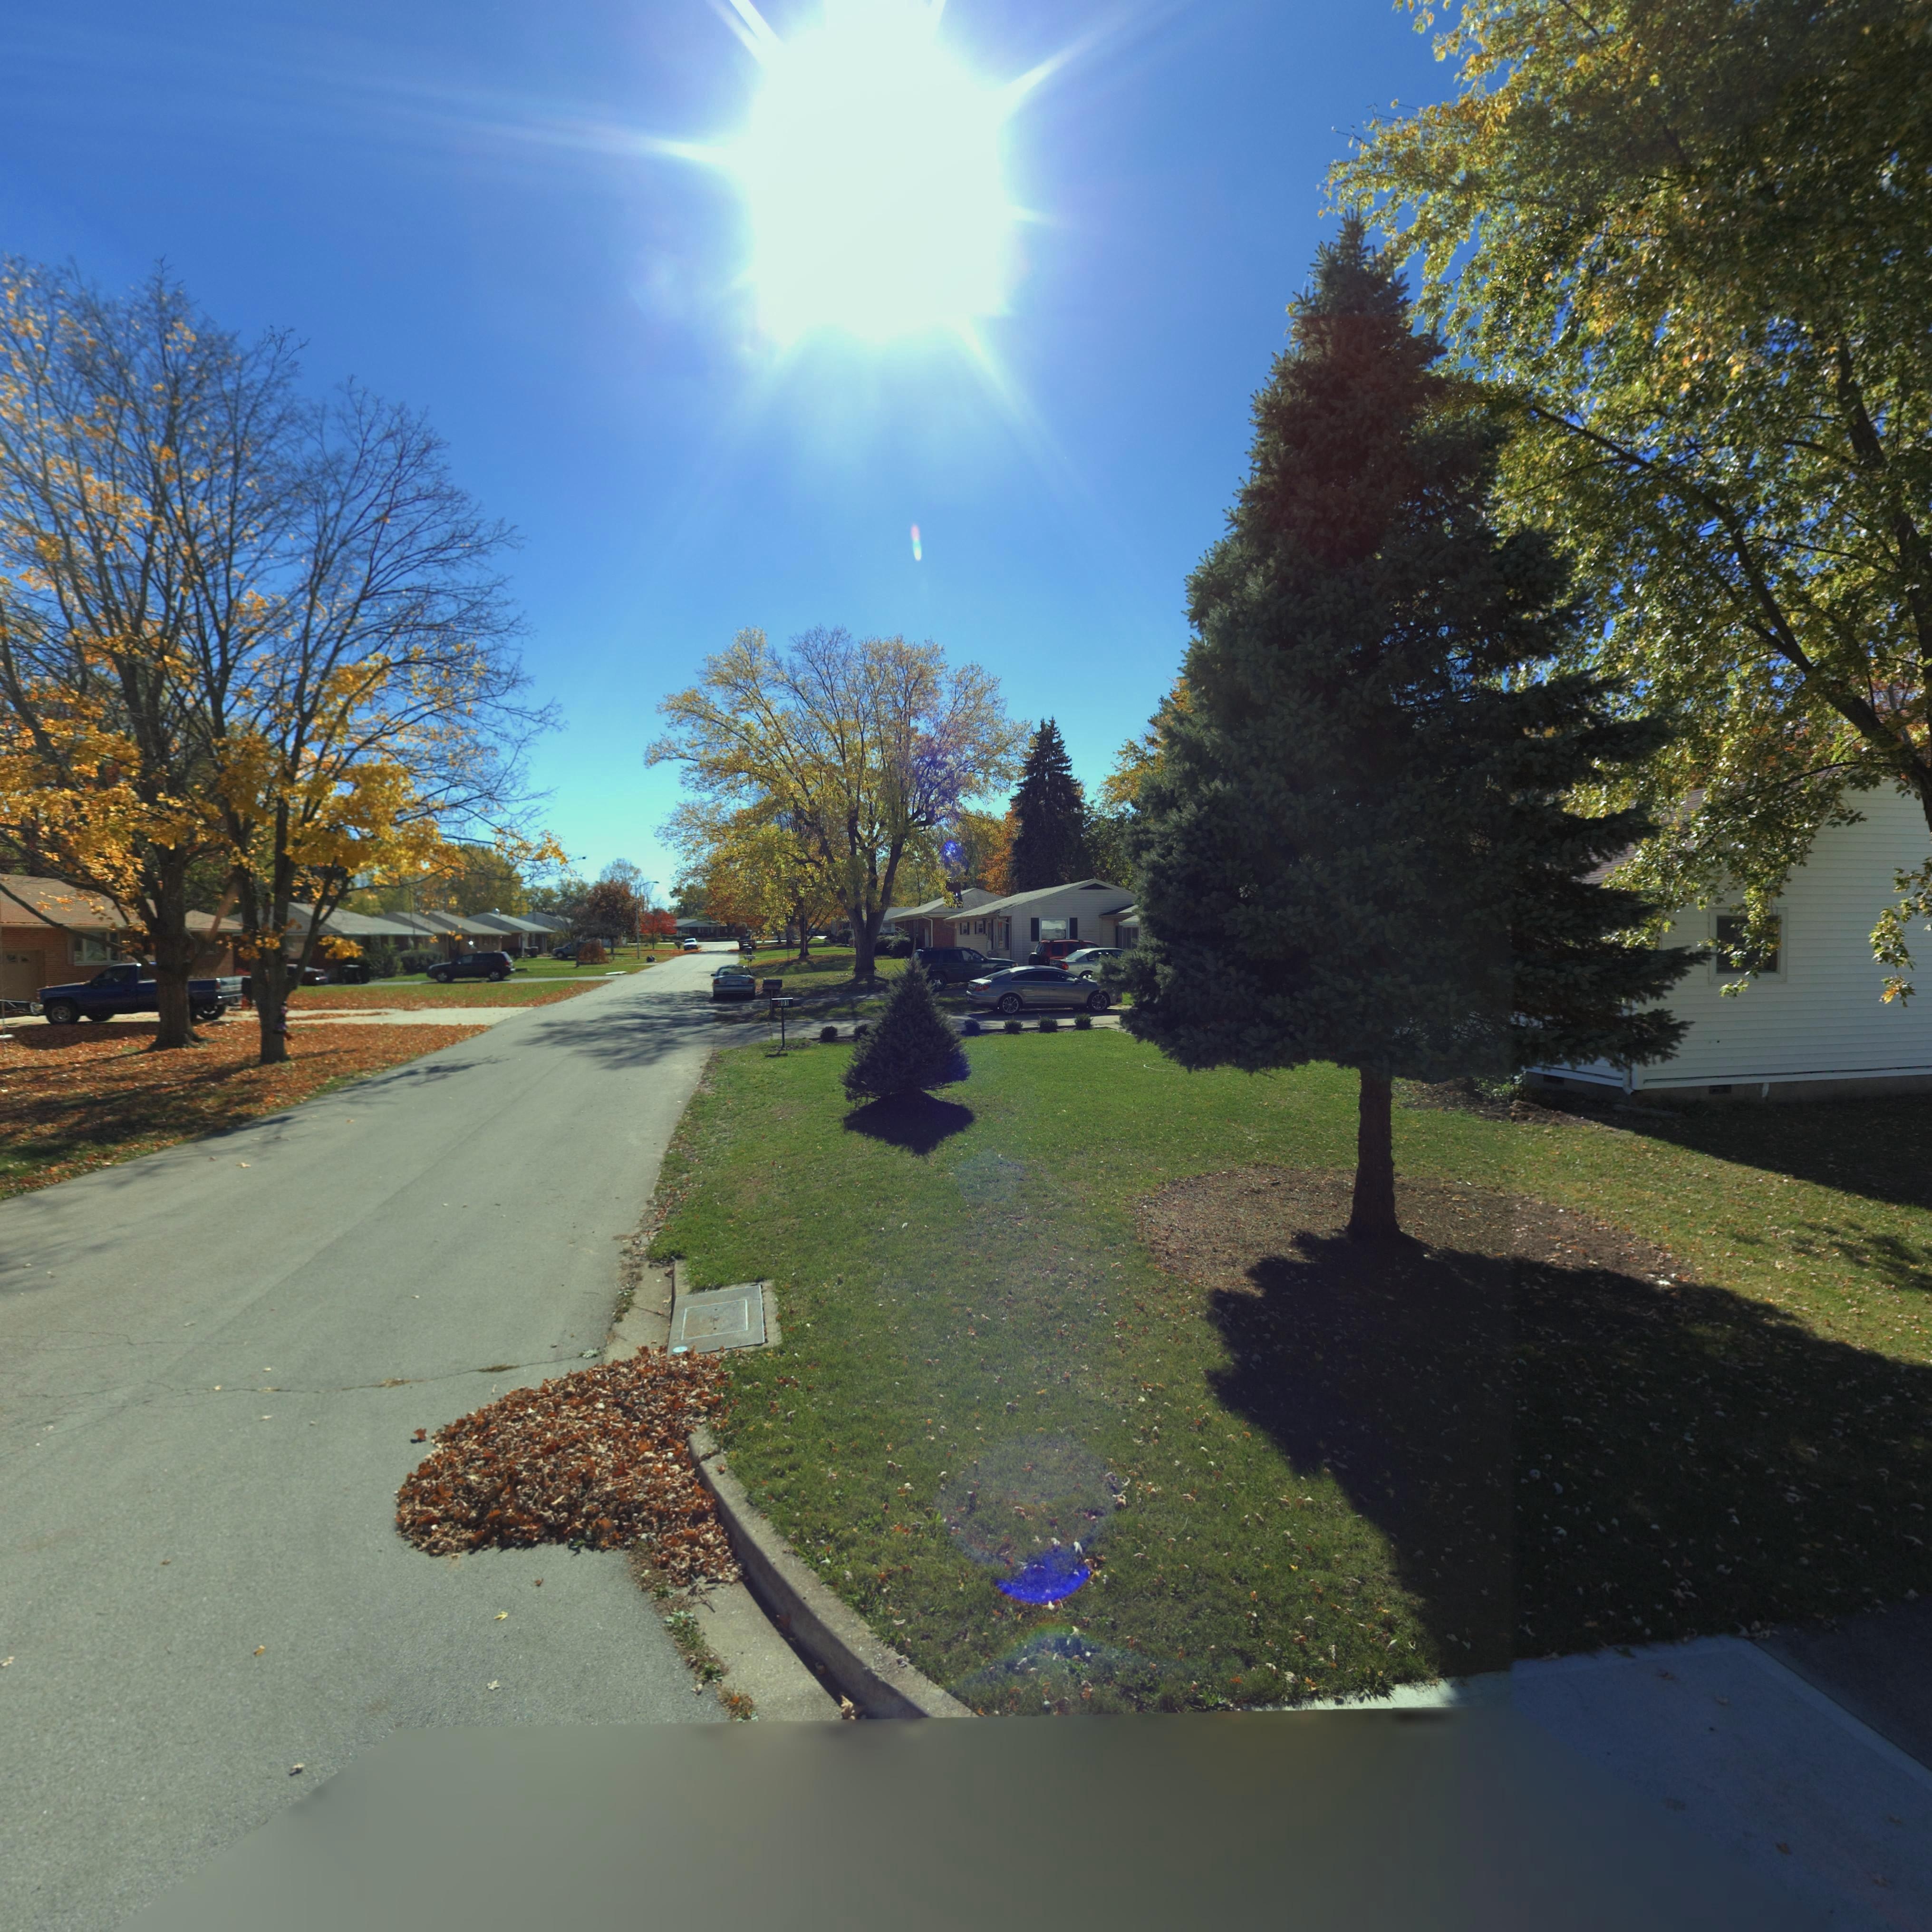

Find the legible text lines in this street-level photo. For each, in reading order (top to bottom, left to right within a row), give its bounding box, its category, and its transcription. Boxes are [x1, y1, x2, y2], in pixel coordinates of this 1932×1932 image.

[778, 1000, 788, 1006] StreetNumber: *01